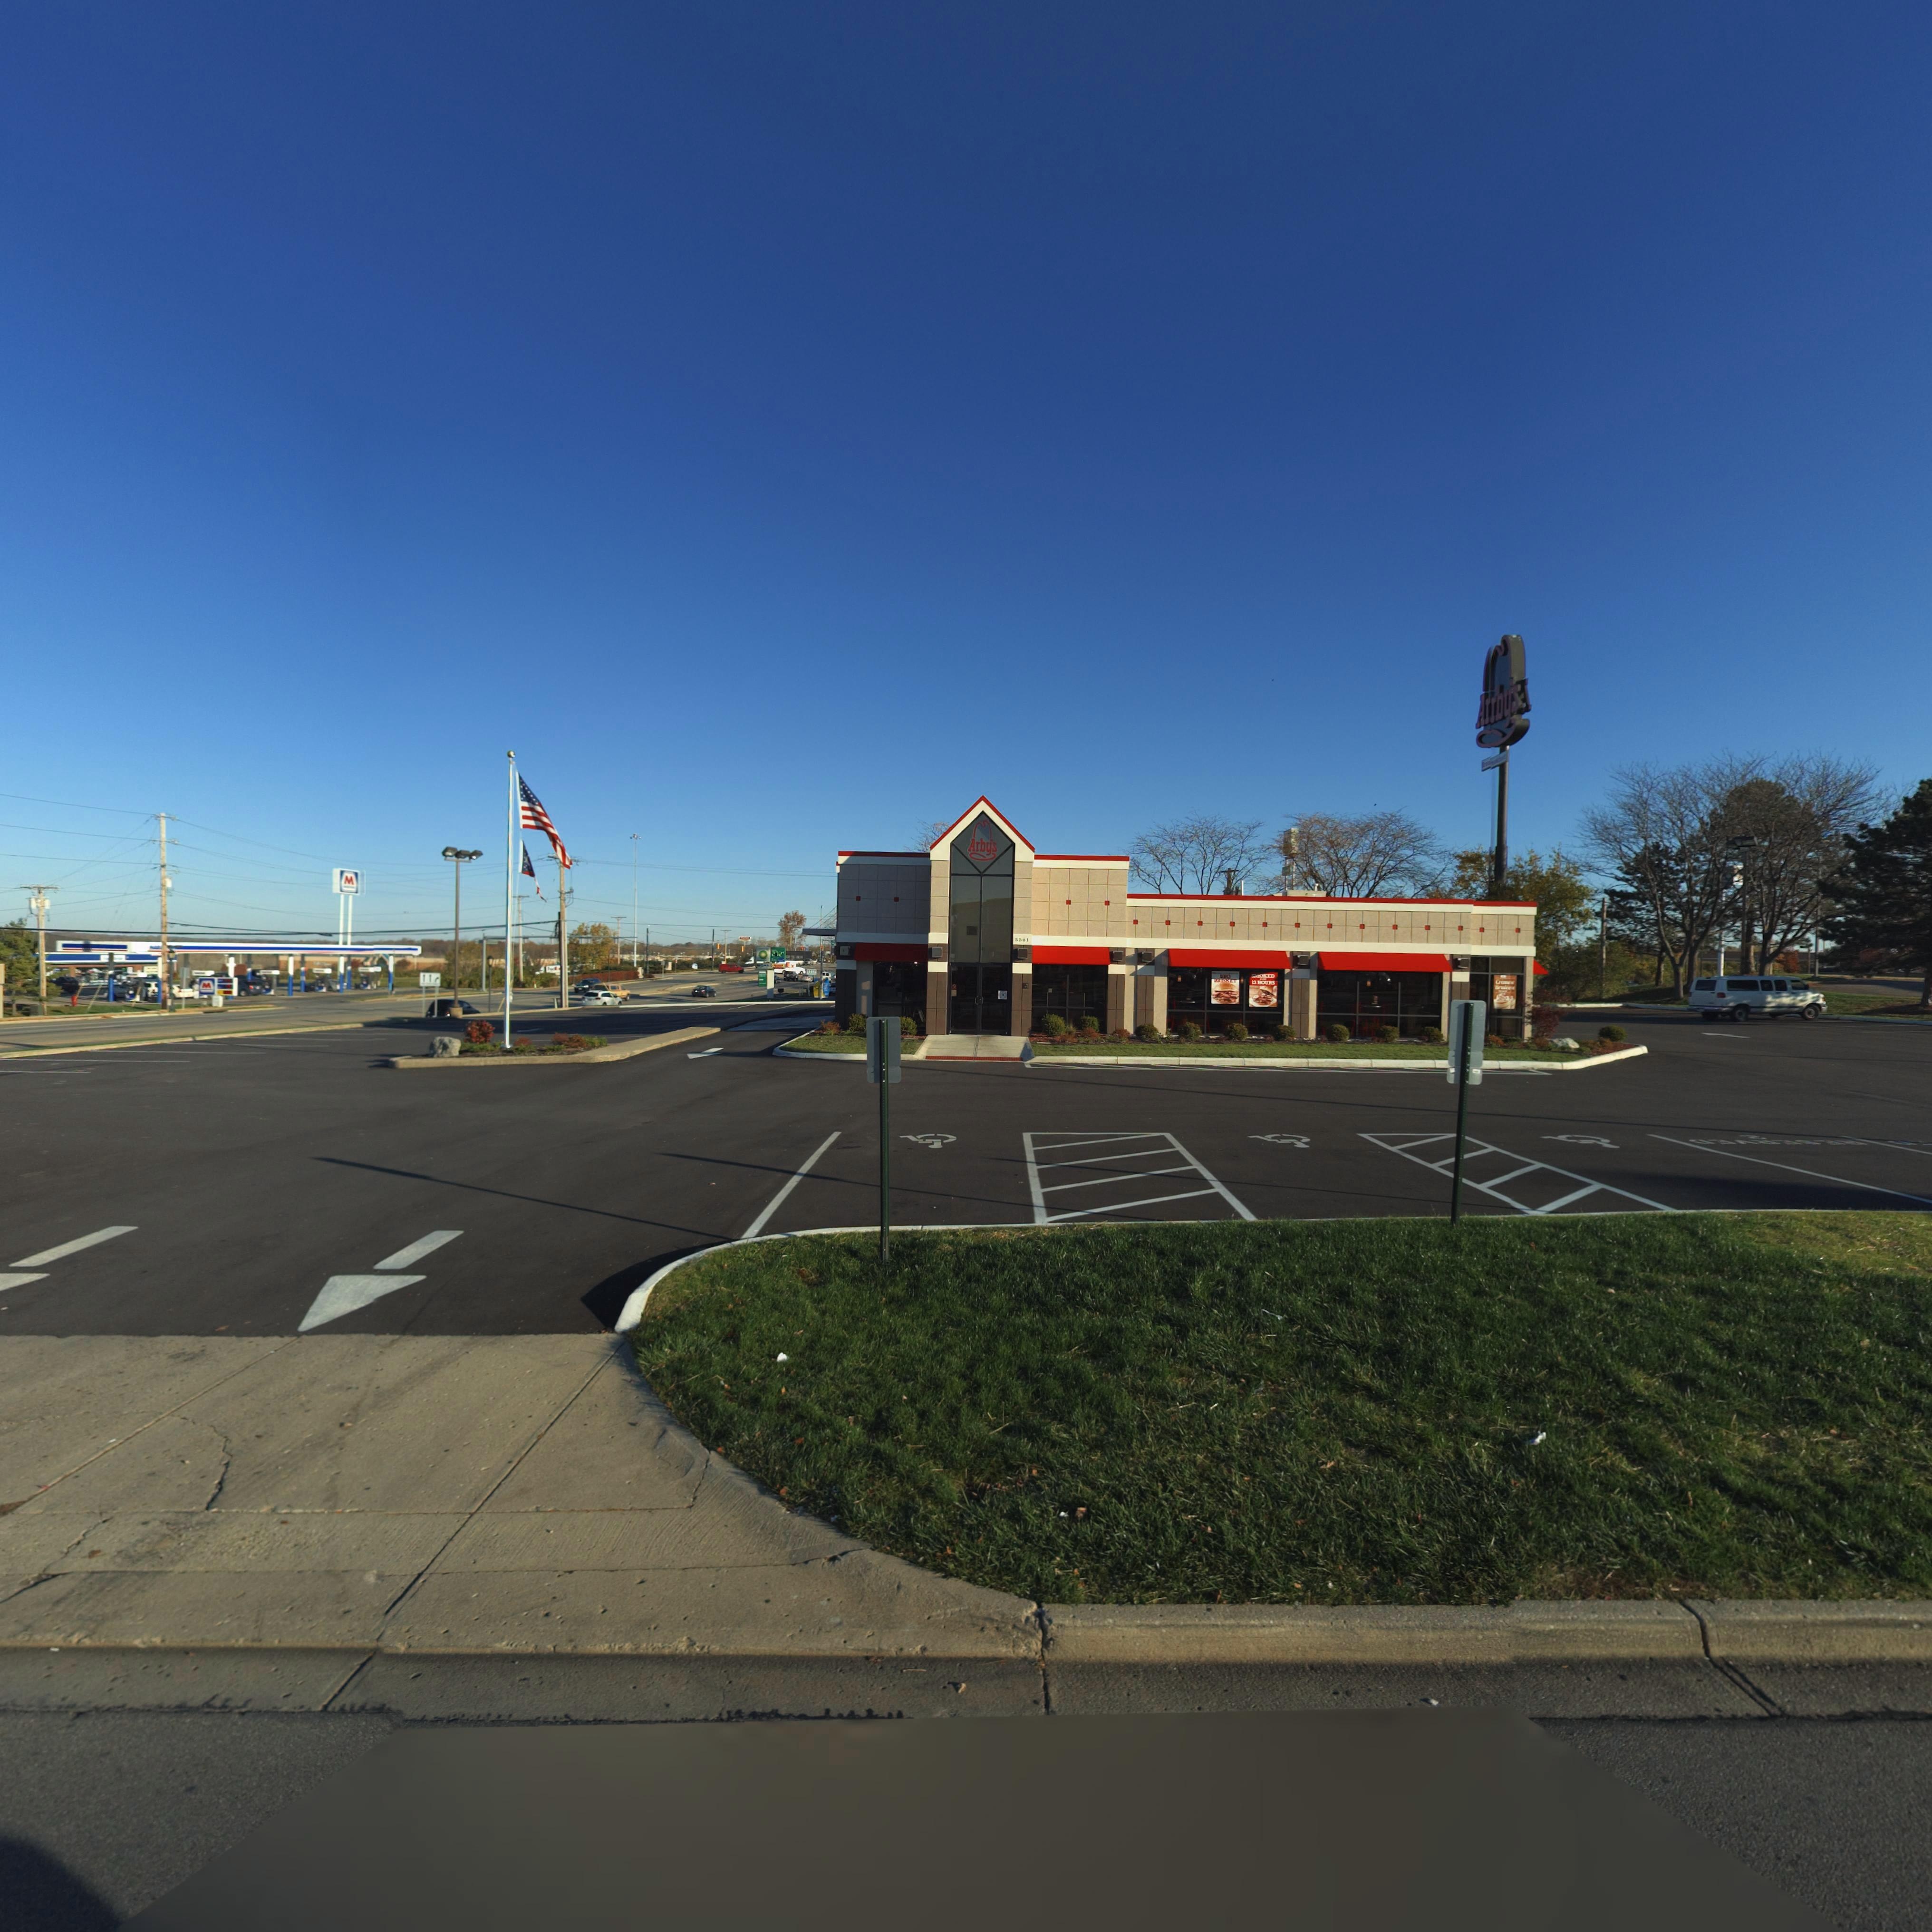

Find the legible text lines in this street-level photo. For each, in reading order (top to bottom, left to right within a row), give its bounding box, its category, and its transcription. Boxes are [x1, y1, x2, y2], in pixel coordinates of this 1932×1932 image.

[1474, 677, 1521, 730] BusinessName: Arrby's
[966, 837, 998, 857] BusinessName: Arby's
[1014, 937, 1029, 943] StreetNumber: 5561